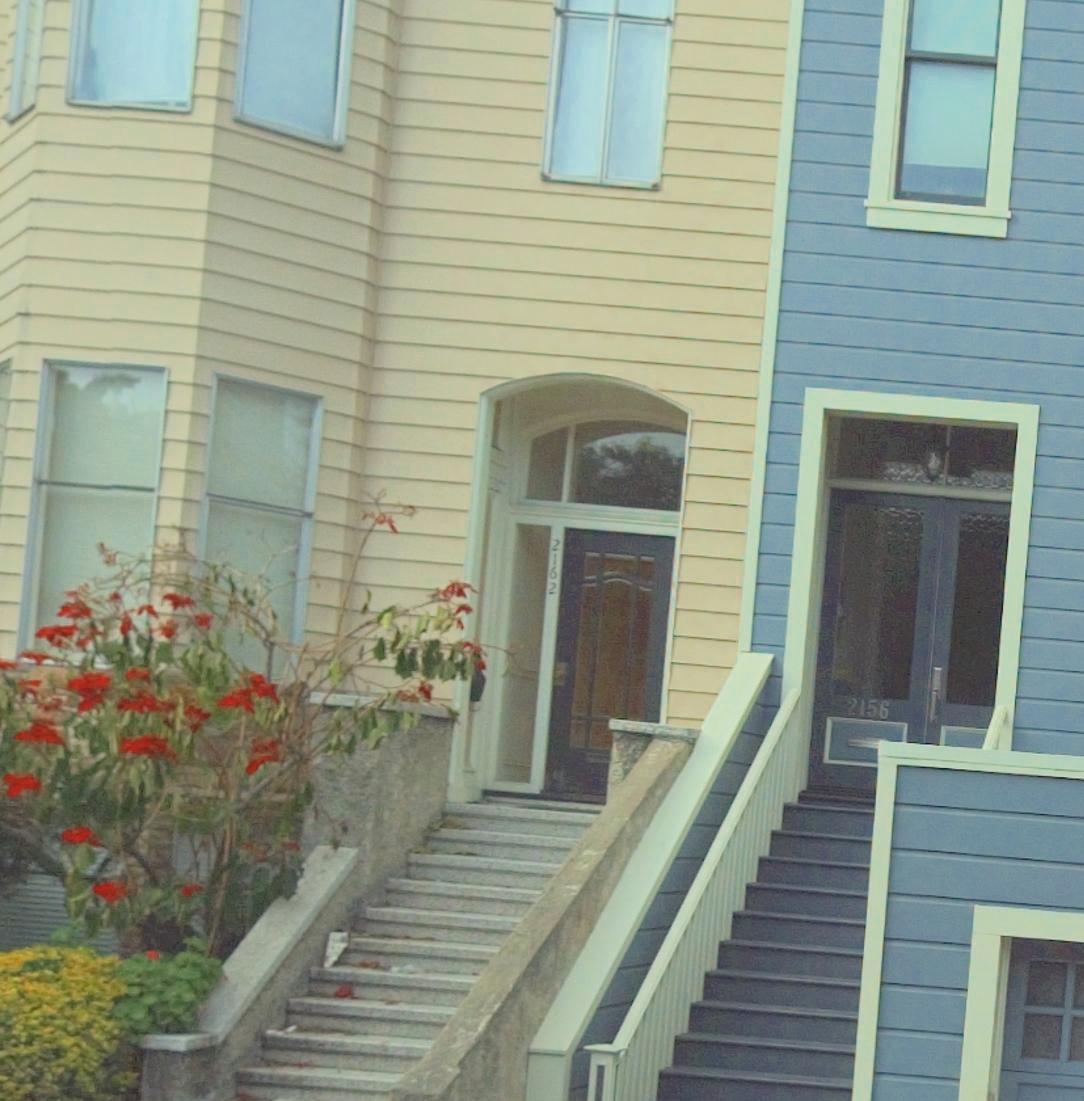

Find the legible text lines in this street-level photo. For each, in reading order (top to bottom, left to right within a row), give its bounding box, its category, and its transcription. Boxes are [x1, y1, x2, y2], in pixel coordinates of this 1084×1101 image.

[545, 537, 563, 597] StreetNumber: 2162
[843, 694, 893, 722] StreetNumber: 2156